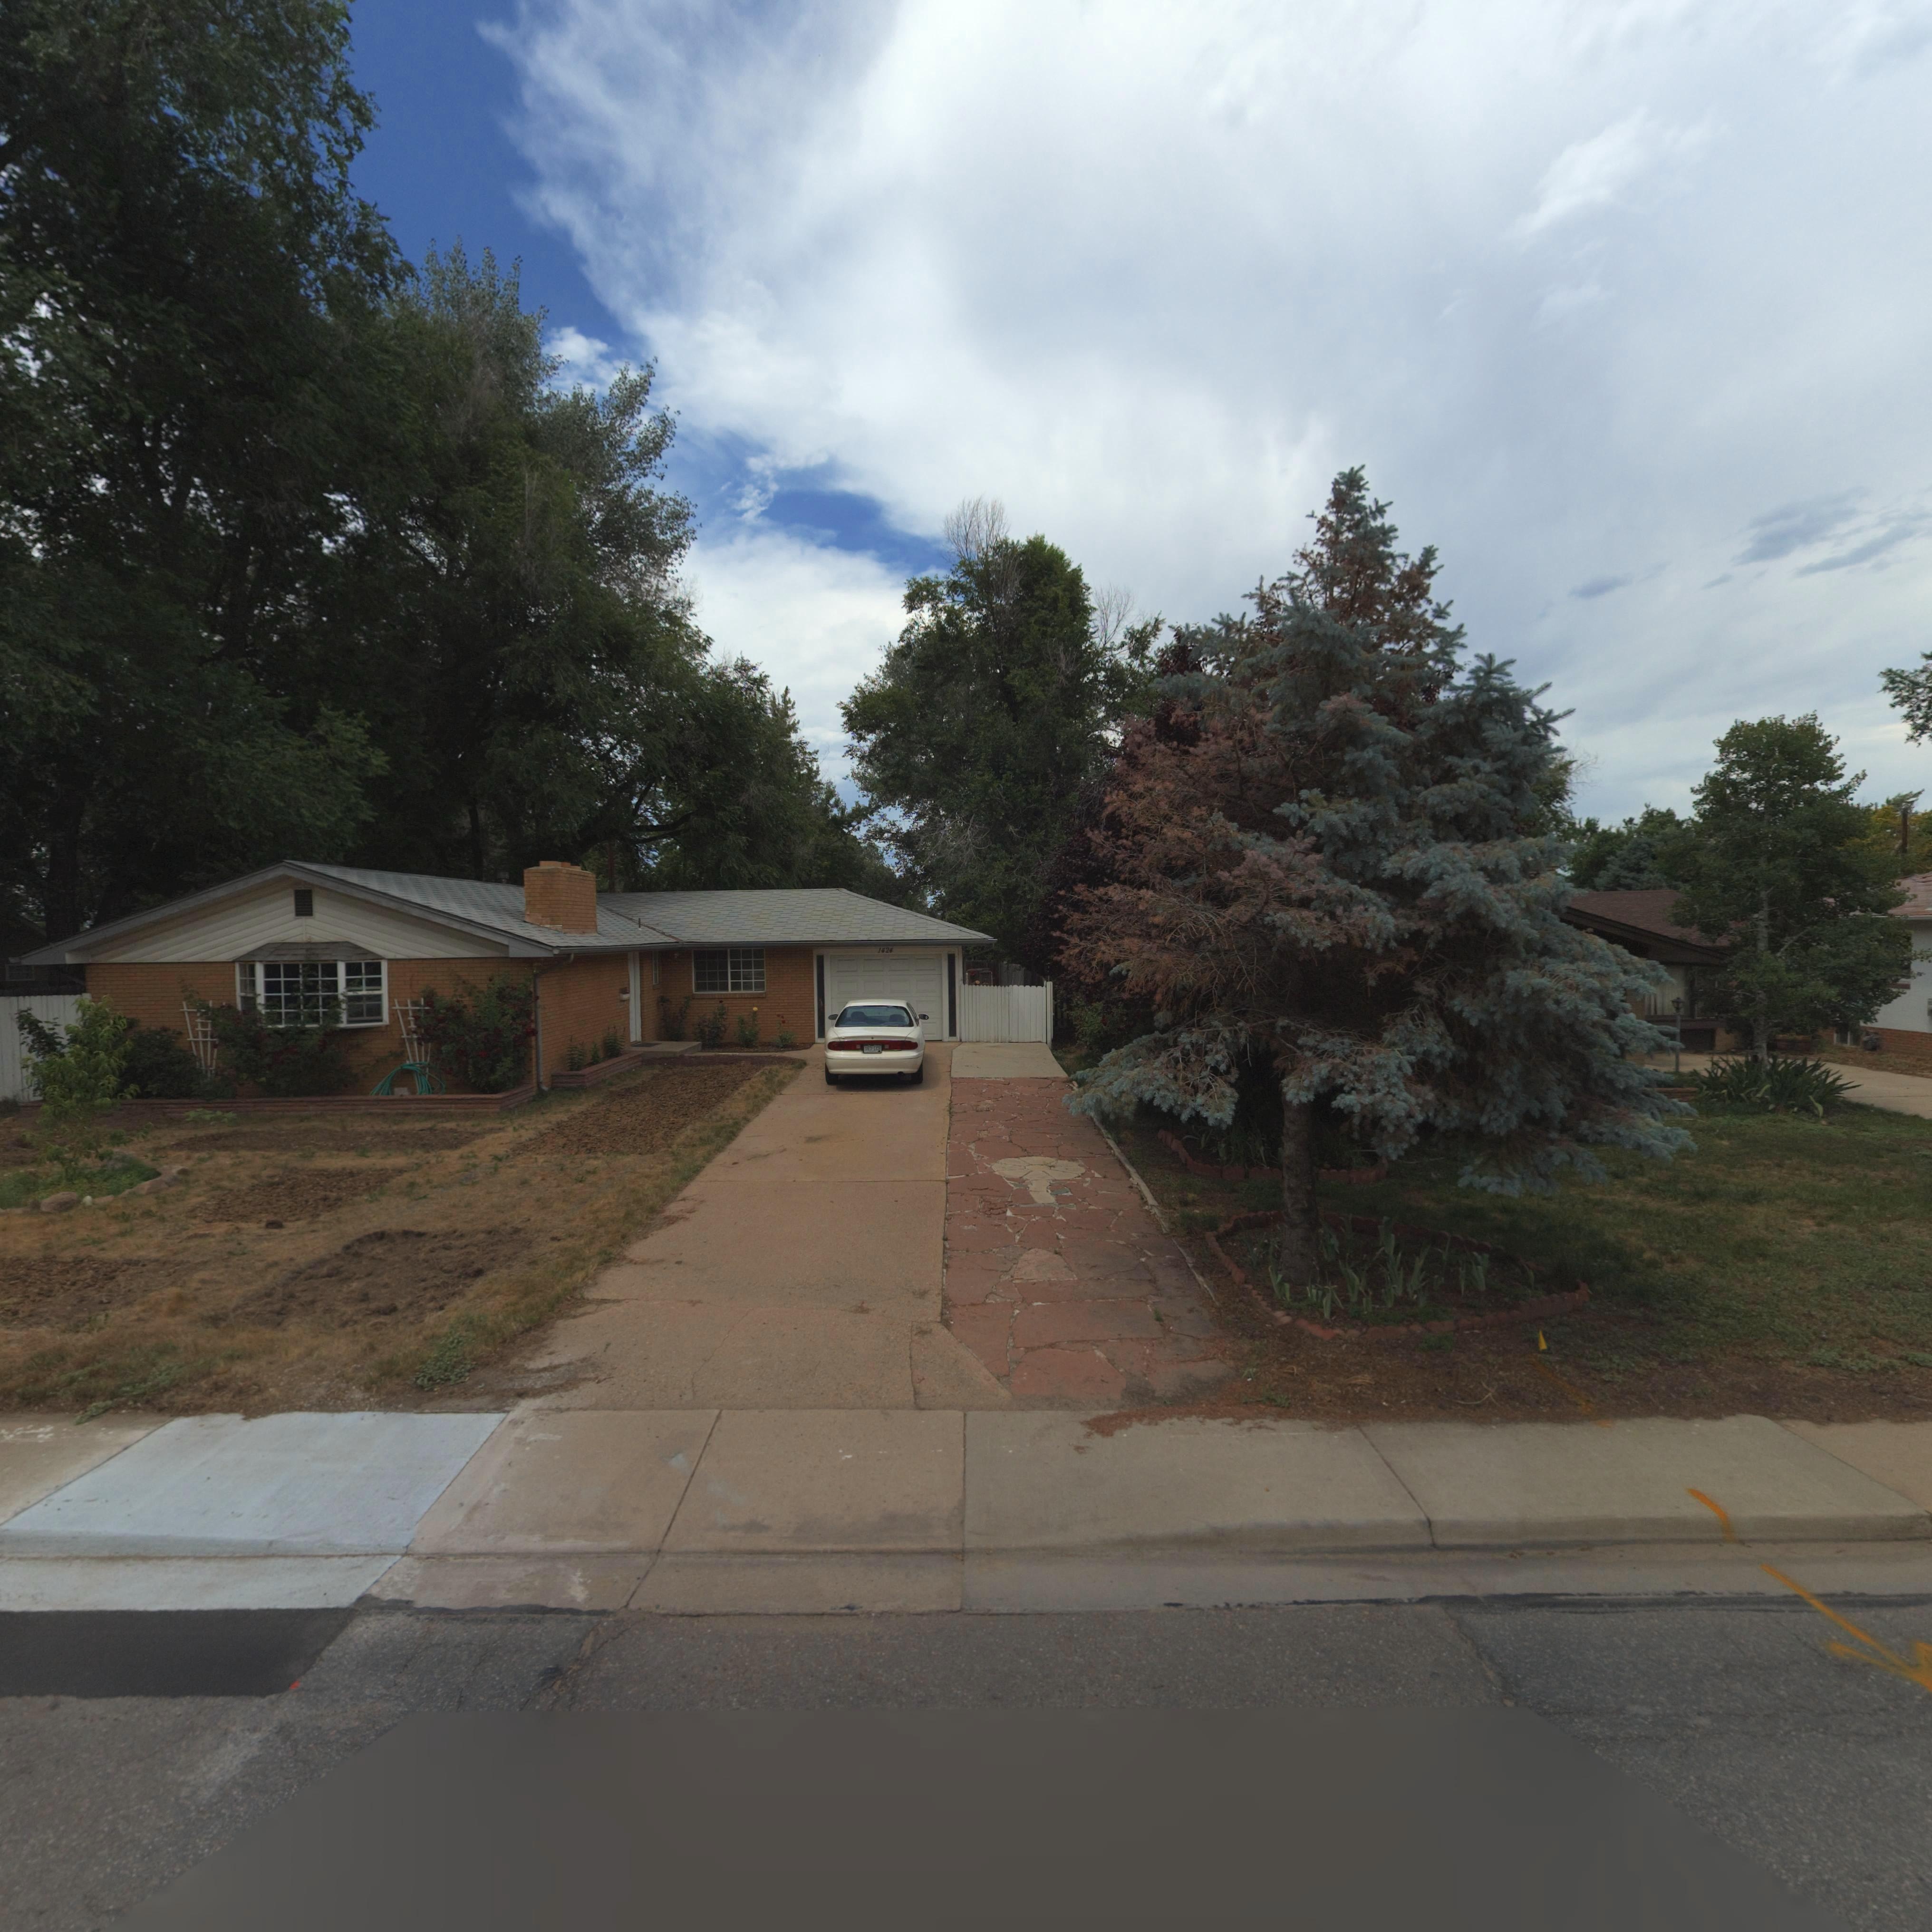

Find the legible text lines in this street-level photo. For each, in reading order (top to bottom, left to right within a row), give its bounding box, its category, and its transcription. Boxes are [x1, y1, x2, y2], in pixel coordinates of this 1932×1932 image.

[877, 947, 894, 953] StreetNumber: 1424